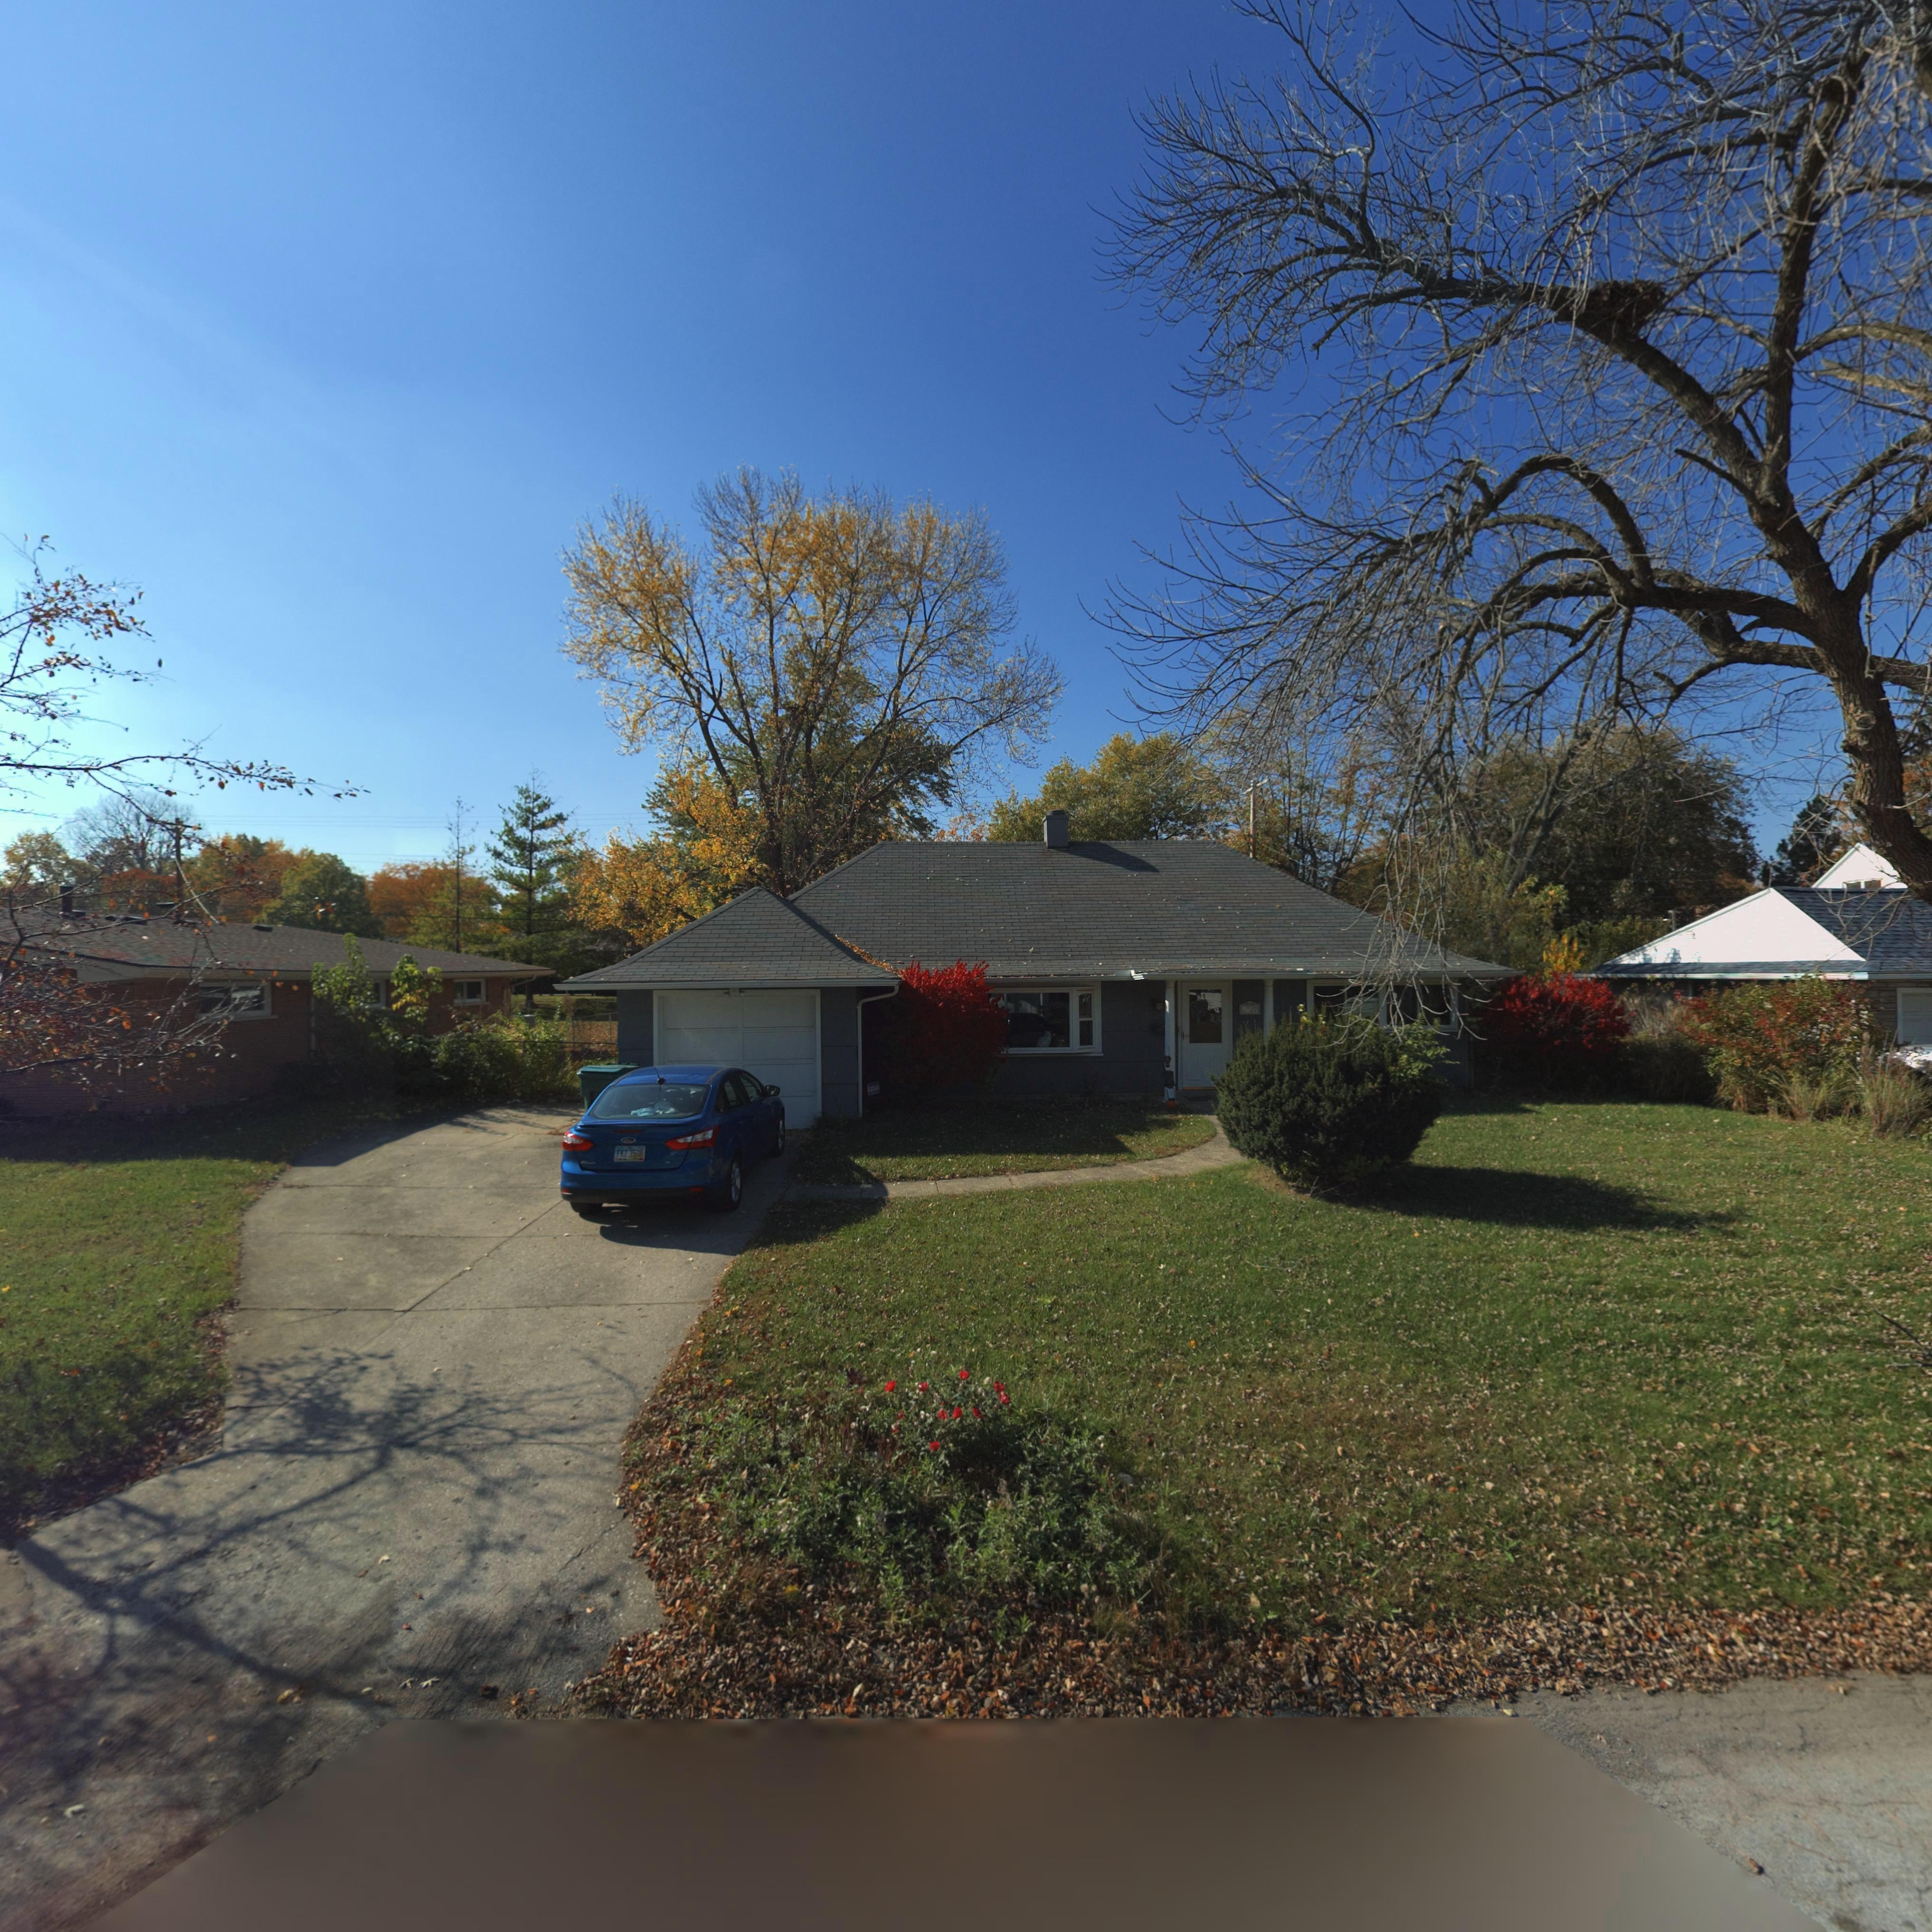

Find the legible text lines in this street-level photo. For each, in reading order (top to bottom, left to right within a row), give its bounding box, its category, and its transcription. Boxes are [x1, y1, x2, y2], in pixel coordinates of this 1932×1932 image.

[1250, 1007, 1257, 1012] StreetNumber: 27
[616, 1149, 644, 1158] None: F*Z*3508